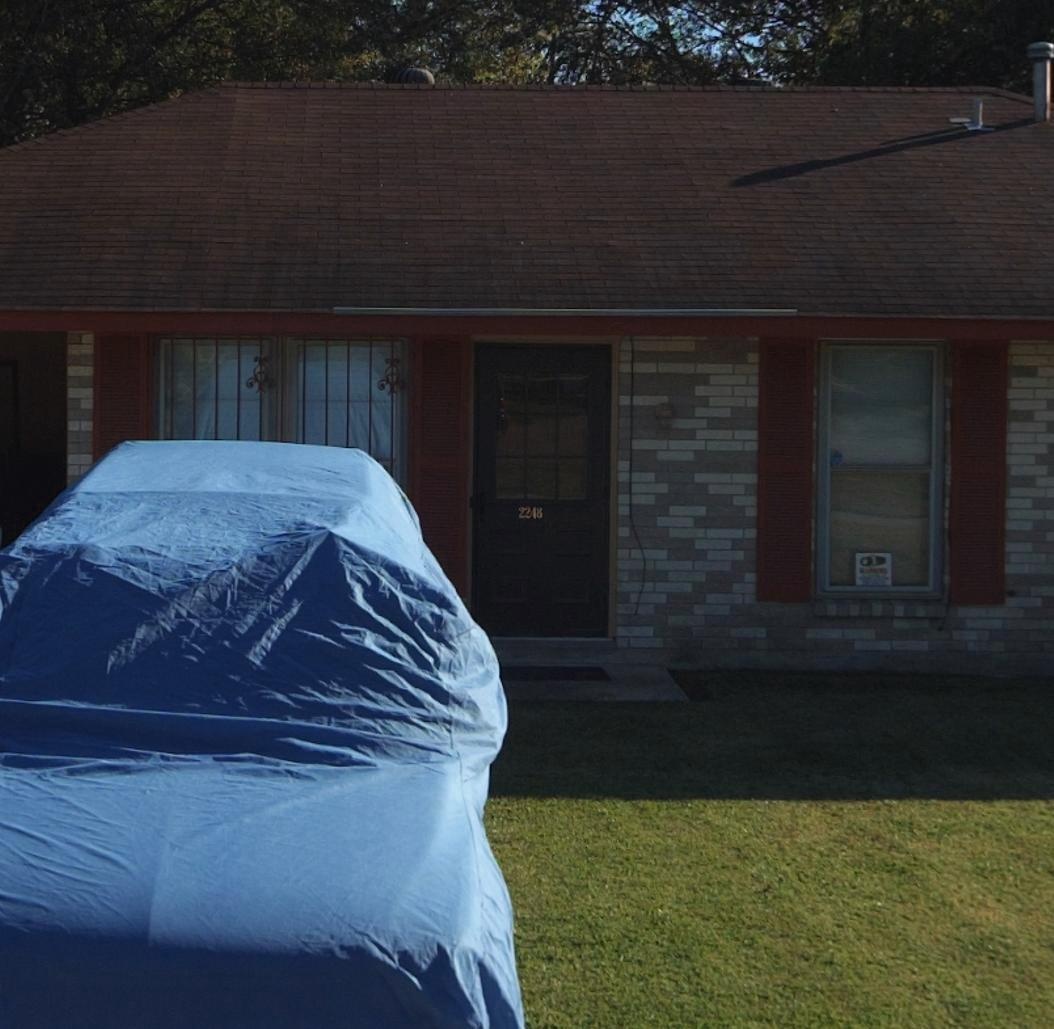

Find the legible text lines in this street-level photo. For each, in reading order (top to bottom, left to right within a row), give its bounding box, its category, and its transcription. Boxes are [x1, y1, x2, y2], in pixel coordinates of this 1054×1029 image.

[517, 505, 544, 520] StreetNumber: 2248